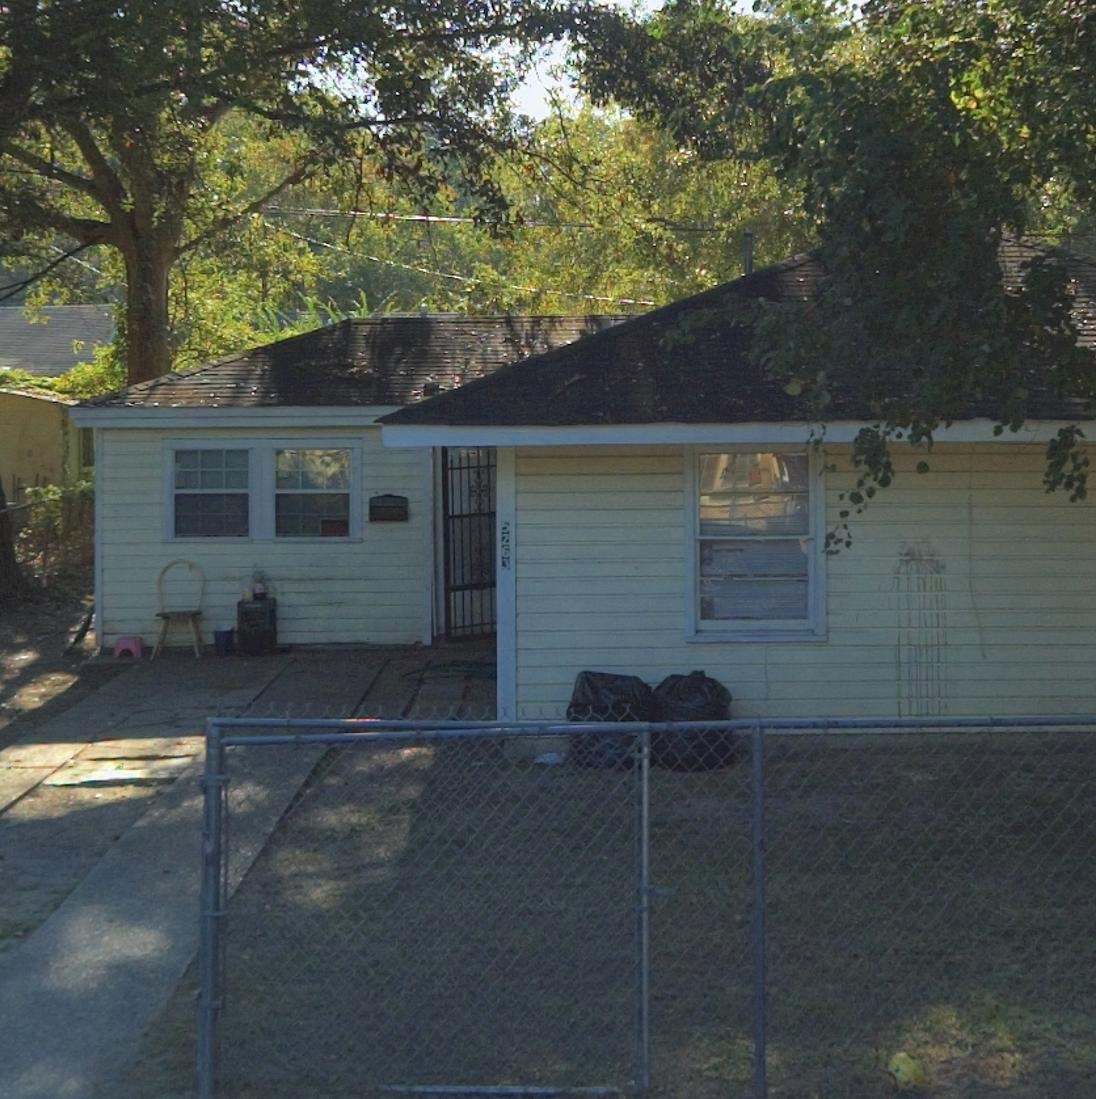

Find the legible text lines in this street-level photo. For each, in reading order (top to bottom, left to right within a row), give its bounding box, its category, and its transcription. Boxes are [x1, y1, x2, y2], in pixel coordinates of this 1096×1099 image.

[501, 520, 511, 571] StreetNumber: 5263